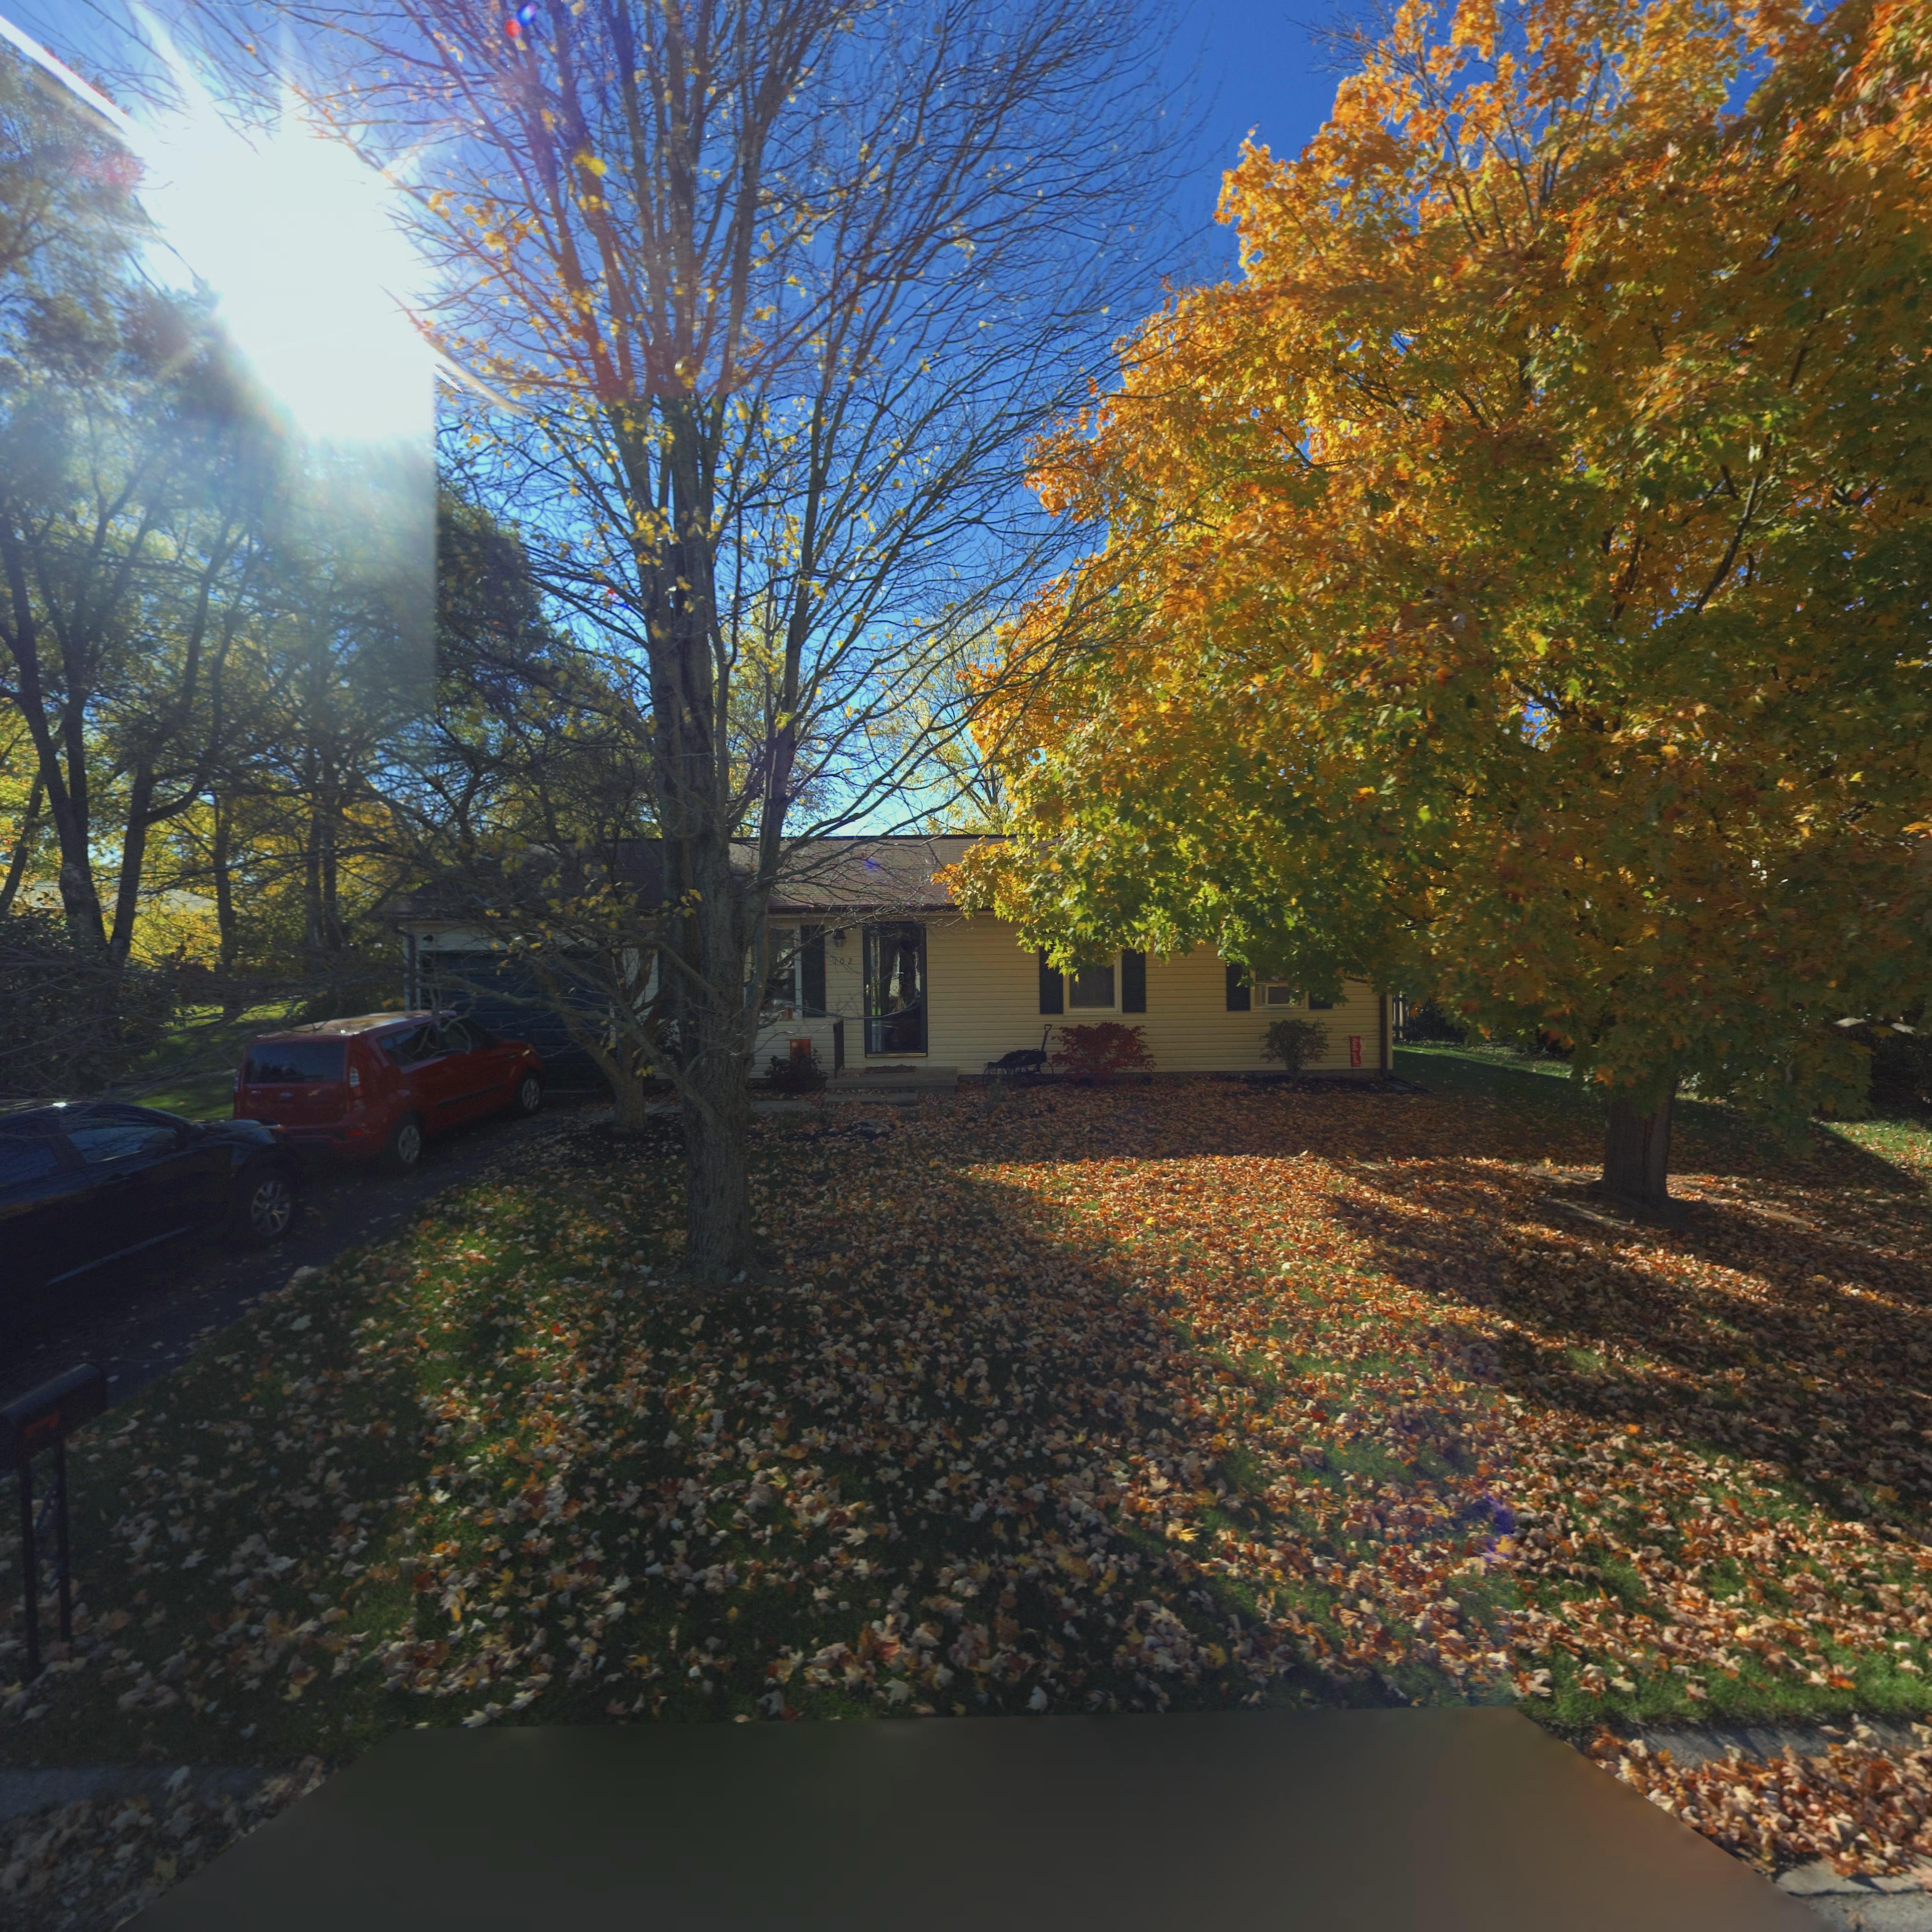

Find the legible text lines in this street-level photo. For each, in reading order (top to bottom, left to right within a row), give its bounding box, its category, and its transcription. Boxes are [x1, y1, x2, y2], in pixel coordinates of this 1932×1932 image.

[833, 957, 853, 966] StreetNumber: 102